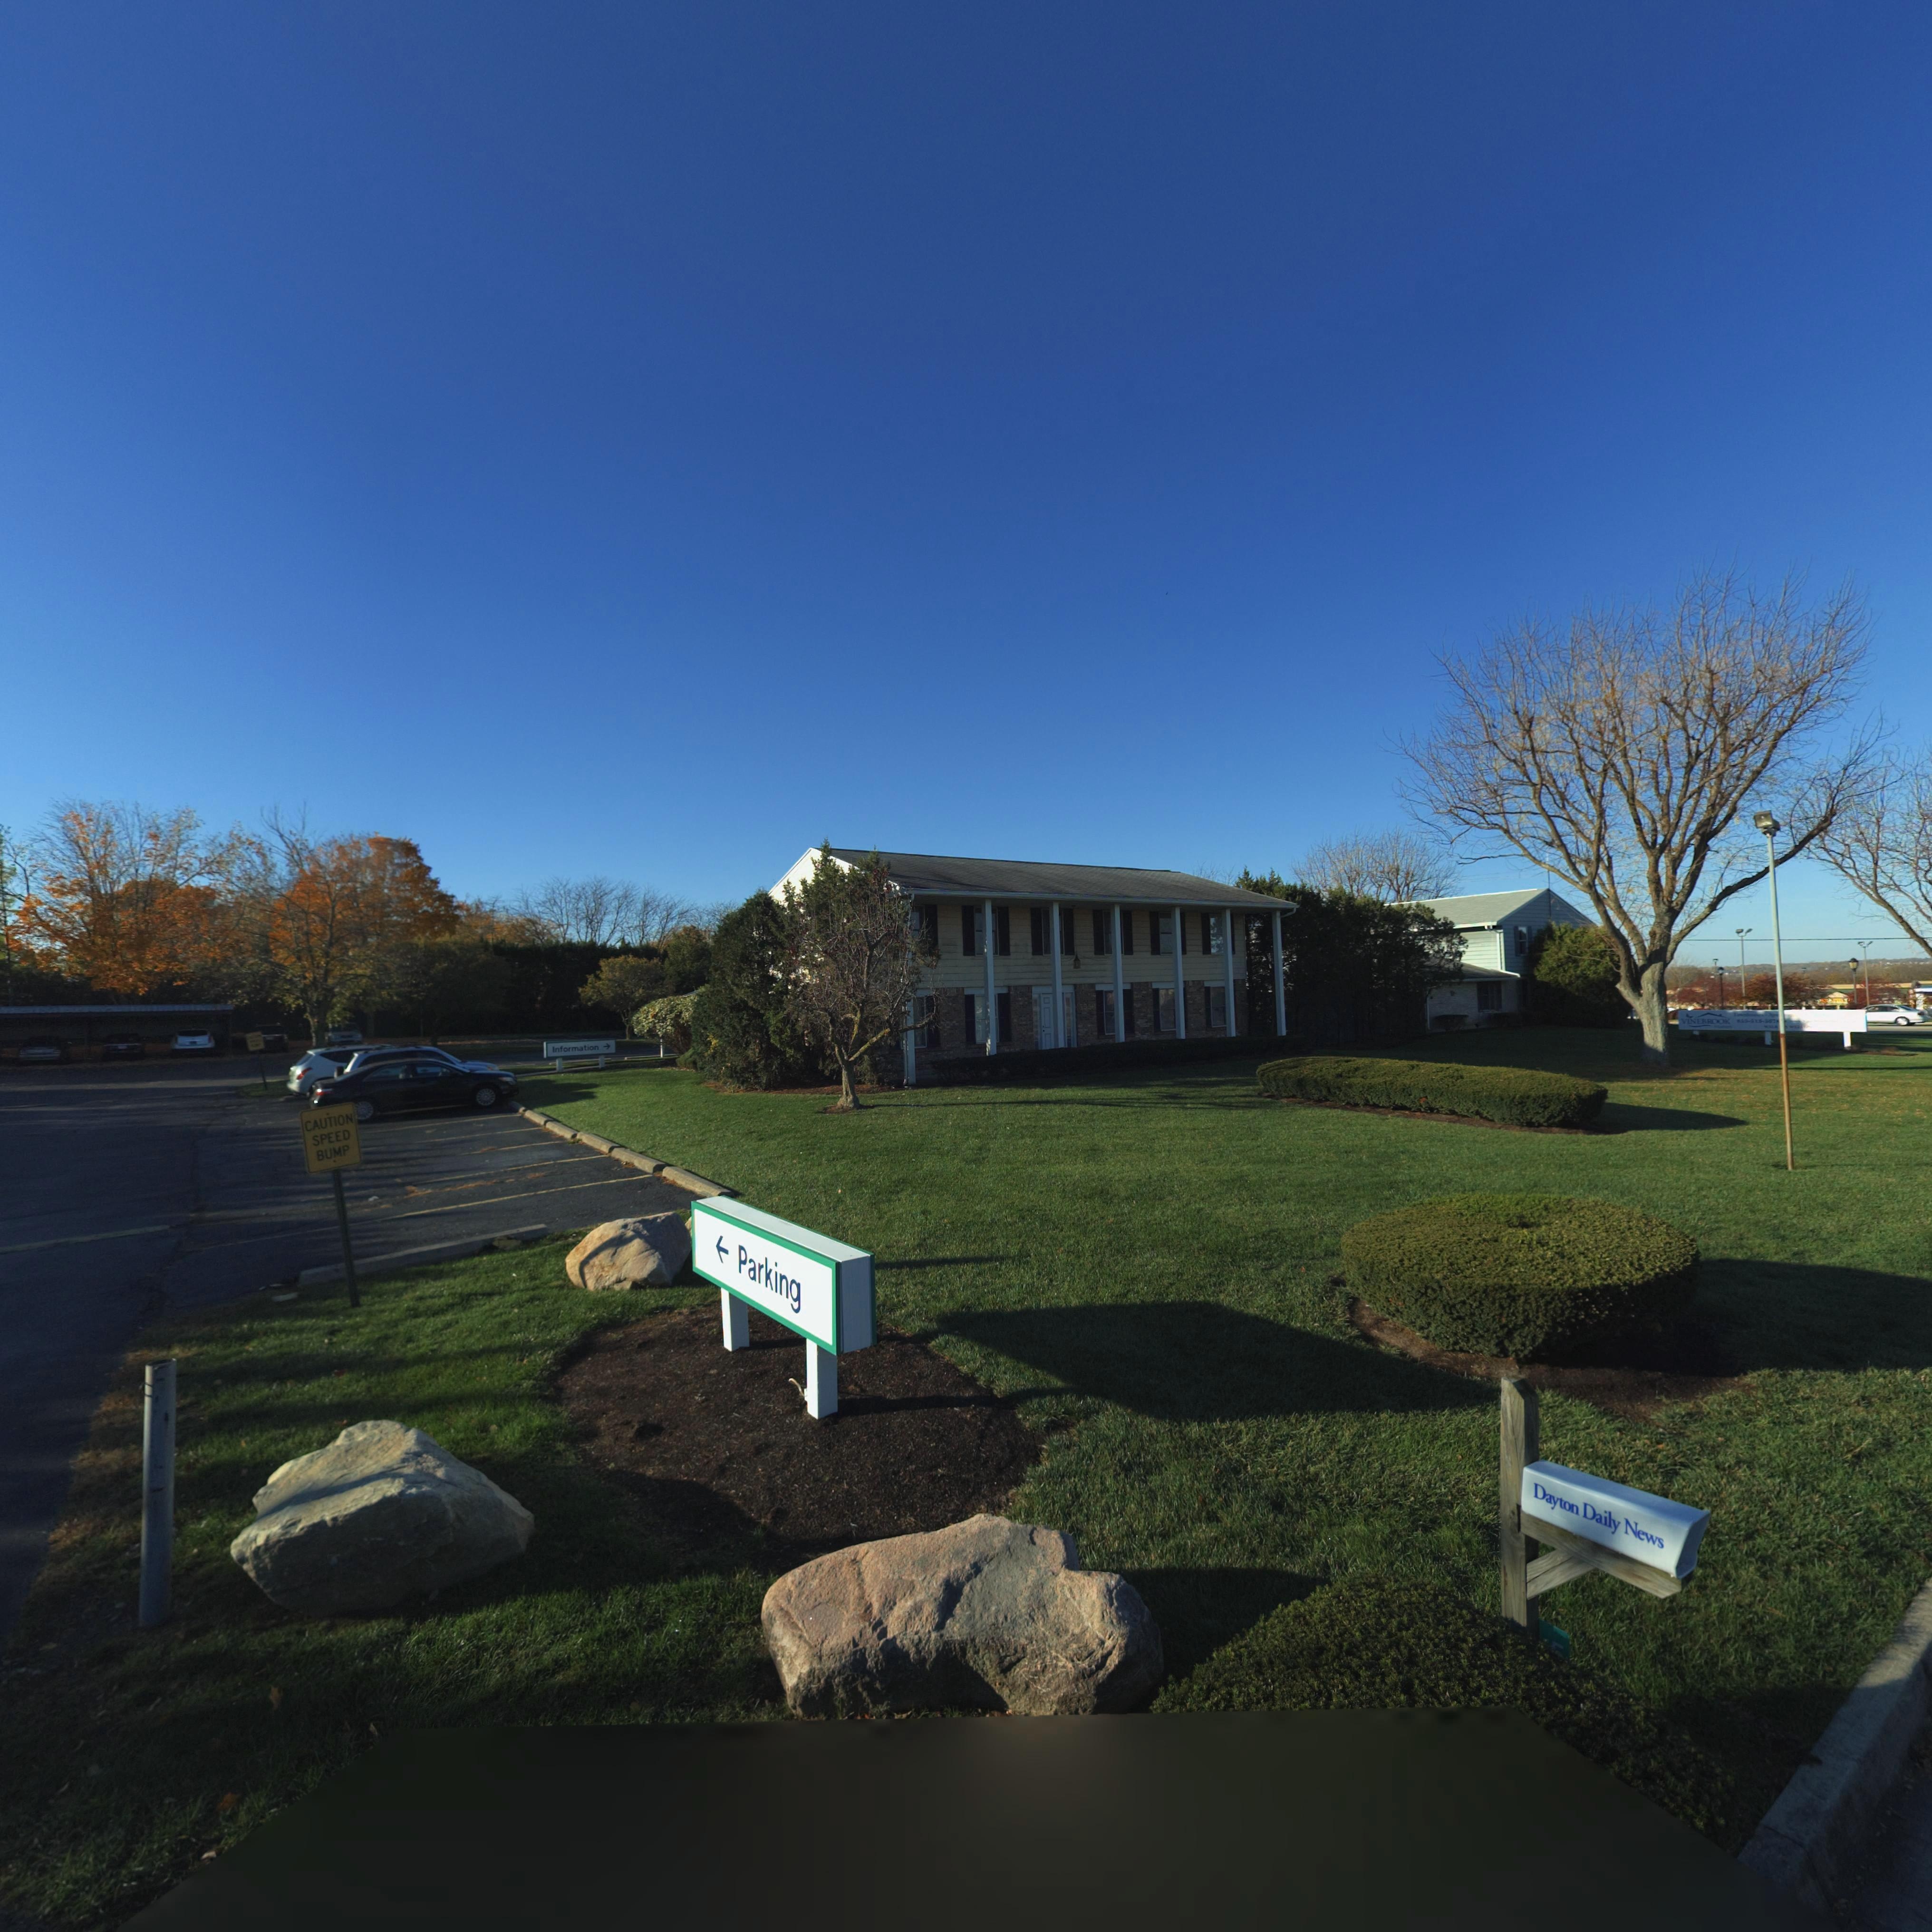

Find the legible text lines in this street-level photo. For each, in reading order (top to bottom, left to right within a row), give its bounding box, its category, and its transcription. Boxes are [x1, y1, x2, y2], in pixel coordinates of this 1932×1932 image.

[1079, 1004, 1096, 1011] StreetNumber: 5550